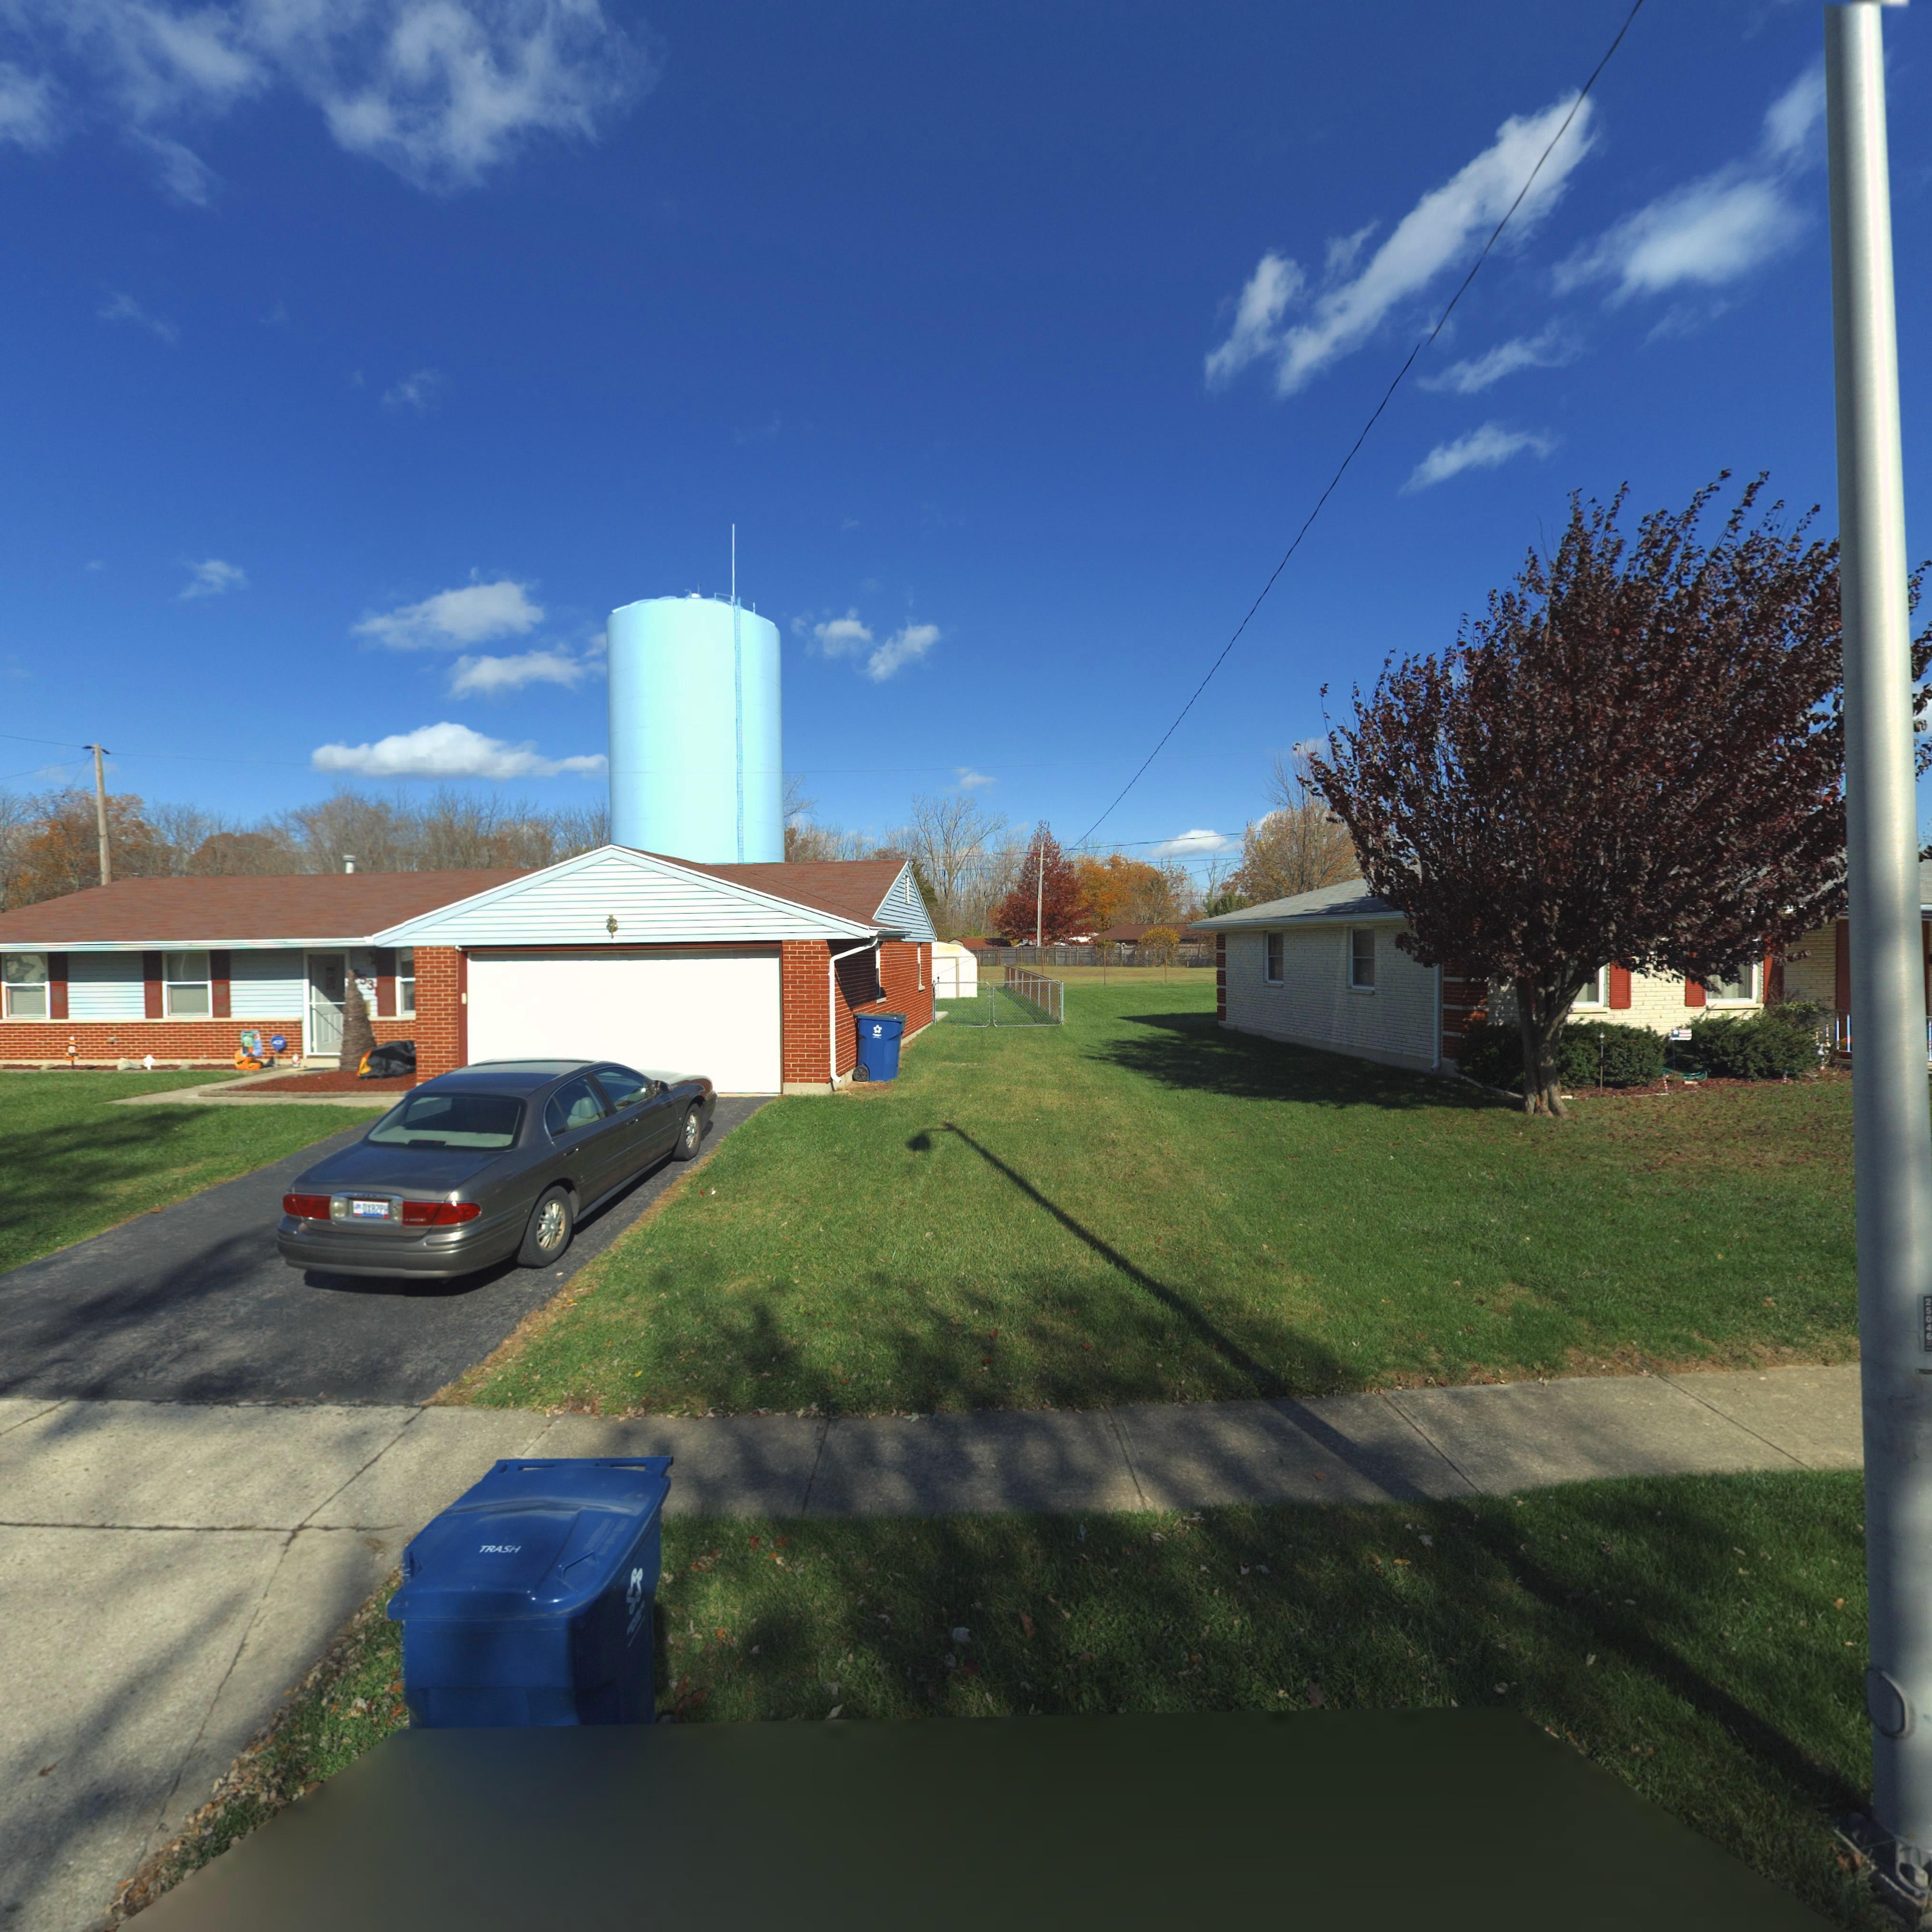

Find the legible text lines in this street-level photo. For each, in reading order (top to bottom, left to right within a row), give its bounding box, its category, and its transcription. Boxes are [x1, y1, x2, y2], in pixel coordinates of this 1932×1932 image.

[358, 973, 378, 997] StreetNumber: 531